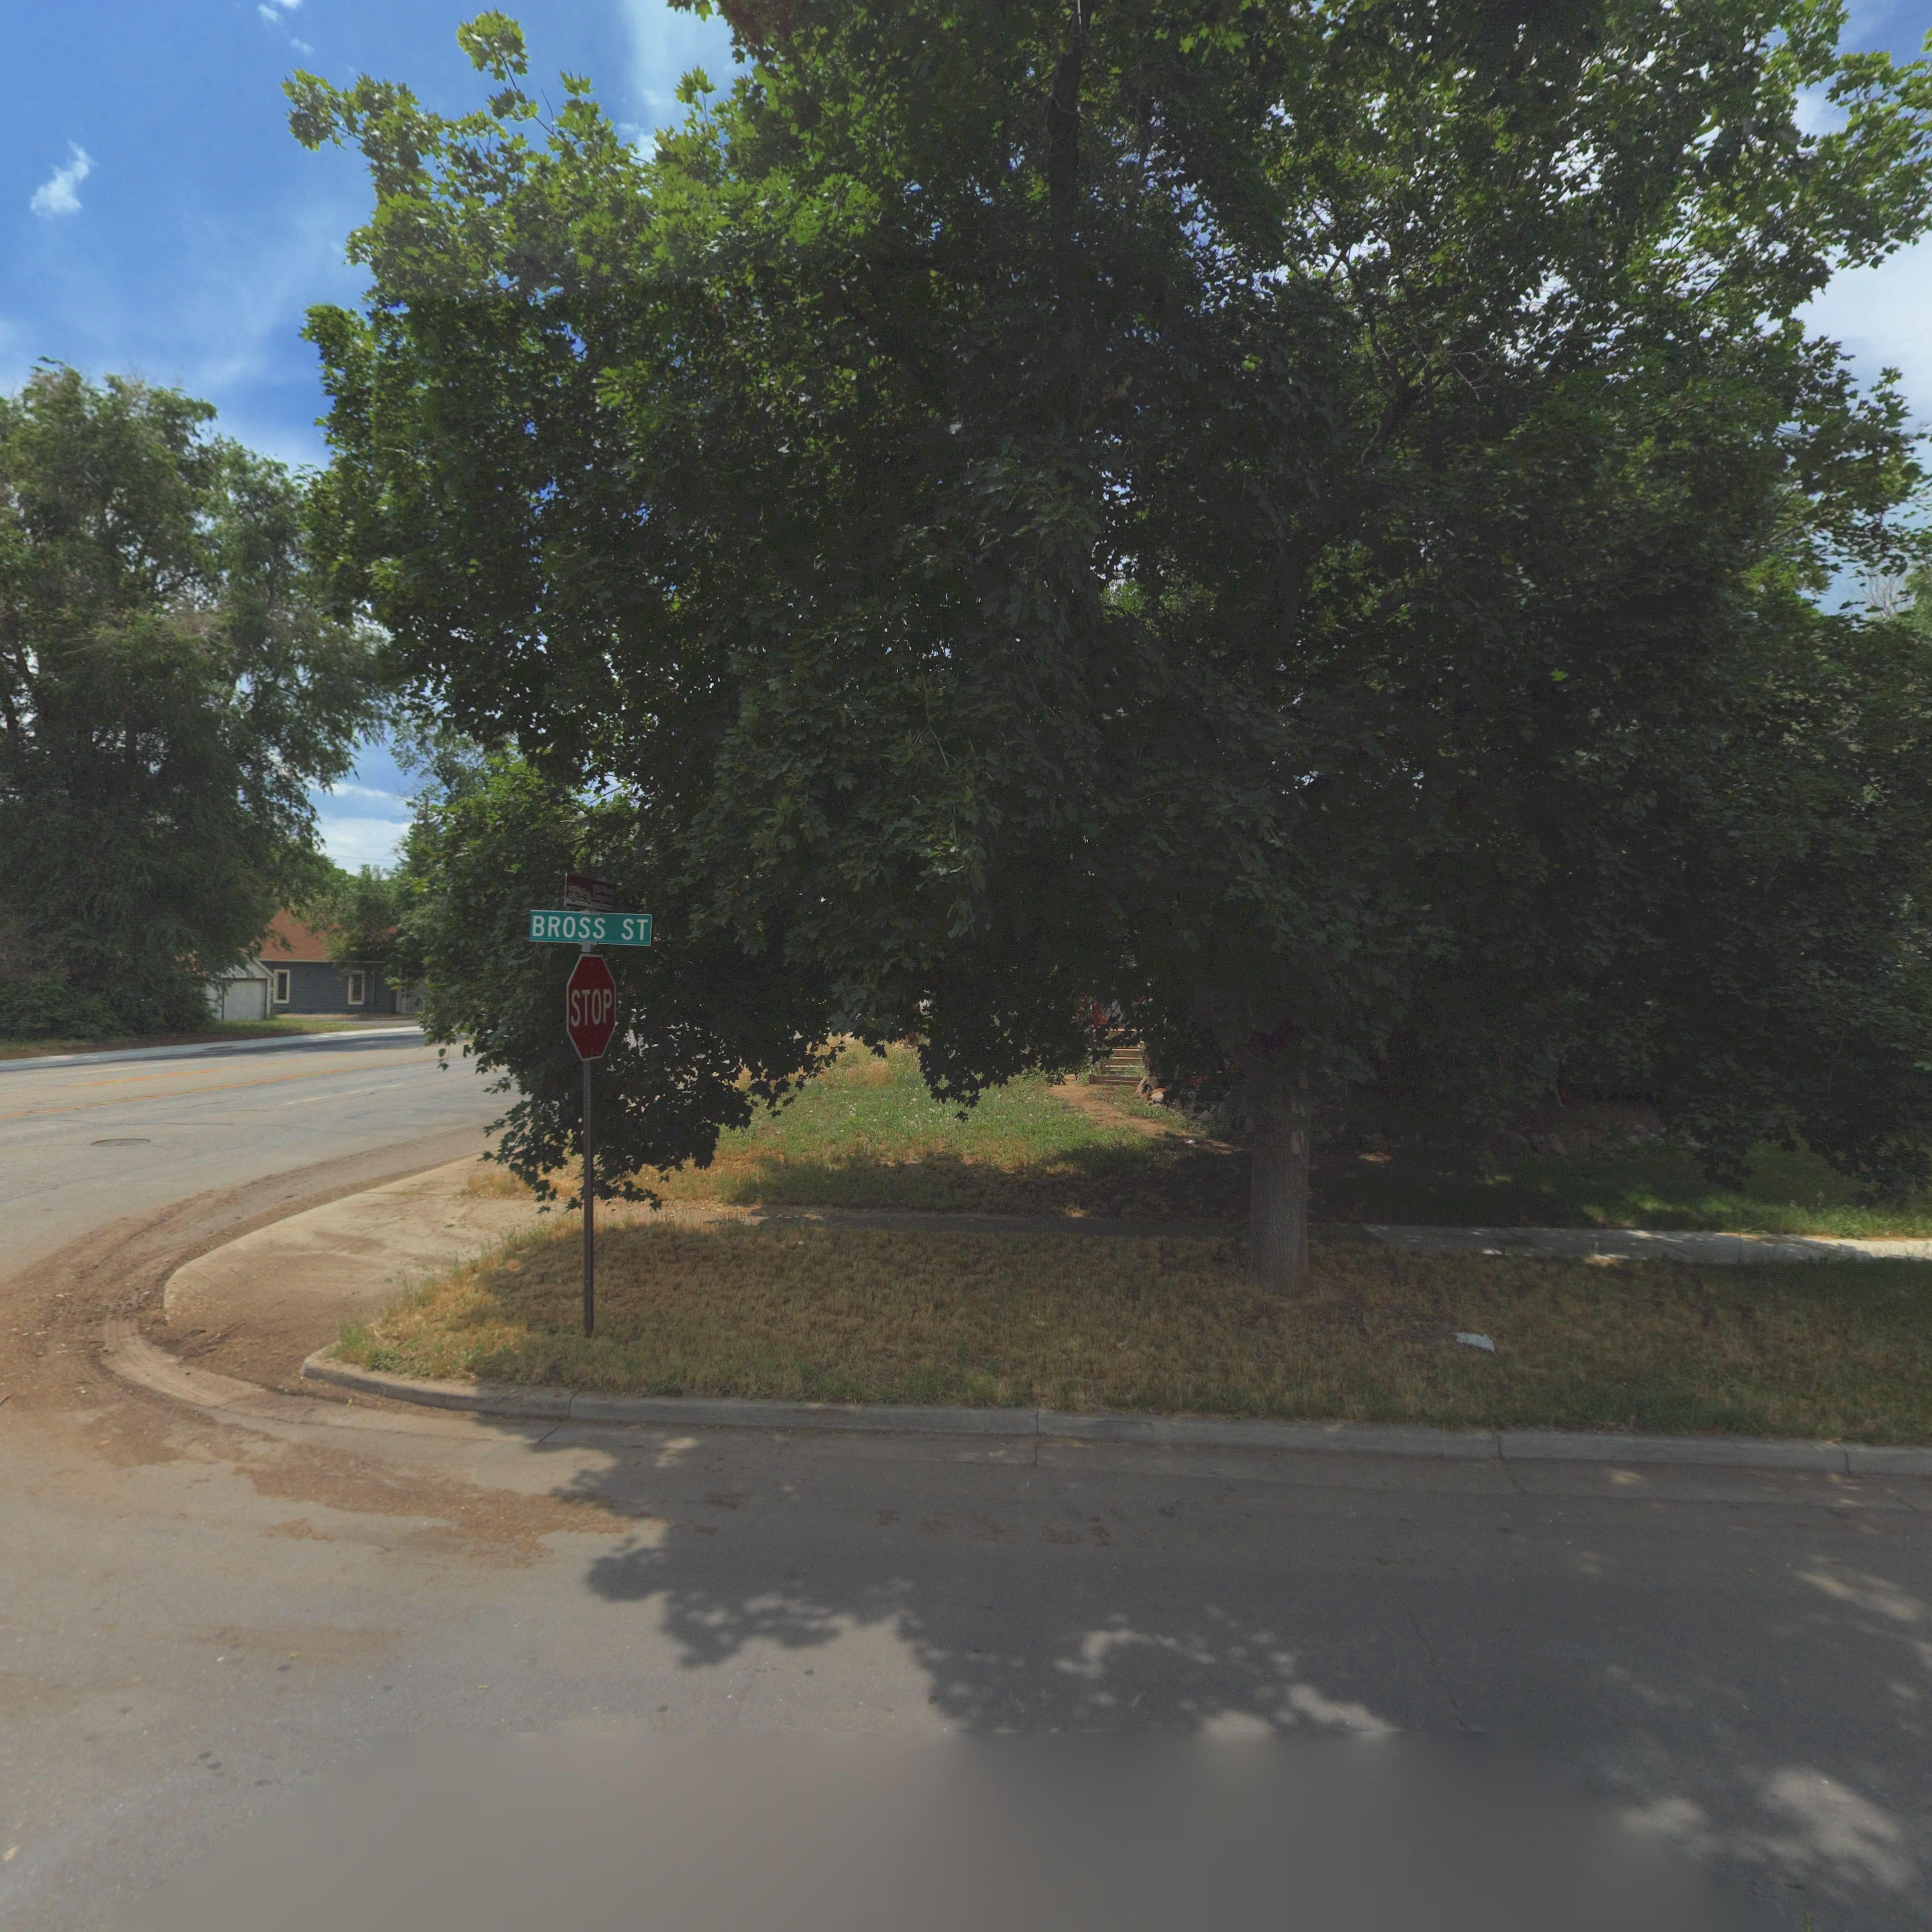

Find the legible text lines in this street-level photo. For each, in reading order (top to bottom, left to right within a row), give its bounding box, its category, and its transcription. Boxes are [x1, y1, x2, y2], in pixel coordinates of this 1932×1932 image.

[532, 916, 648, 940] StreetName: BROSS ST